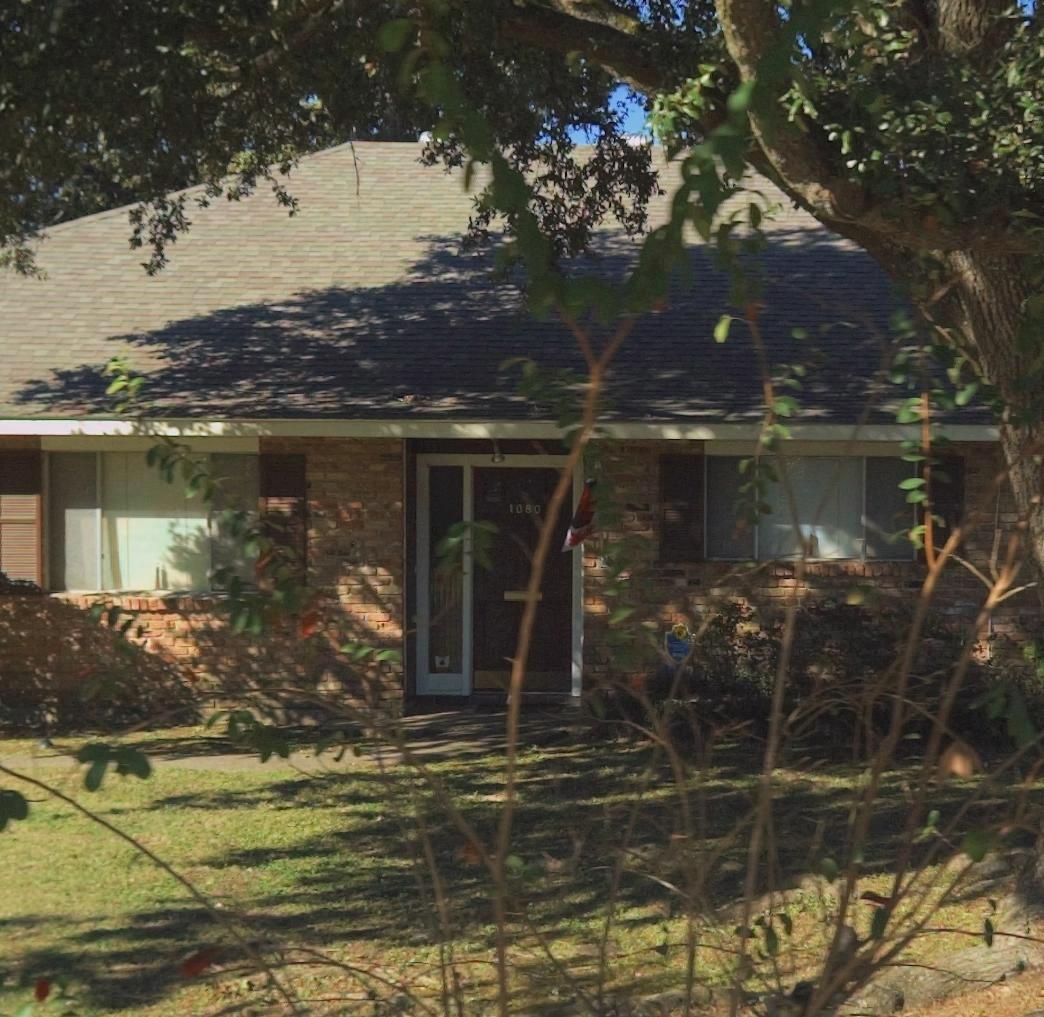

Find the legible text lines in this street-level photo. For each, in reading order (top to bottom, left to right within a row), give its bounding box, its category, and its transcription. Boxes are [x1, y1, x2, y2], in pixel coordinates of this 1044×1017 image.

[507, 502, 543, 516] StreetNumber: 1080